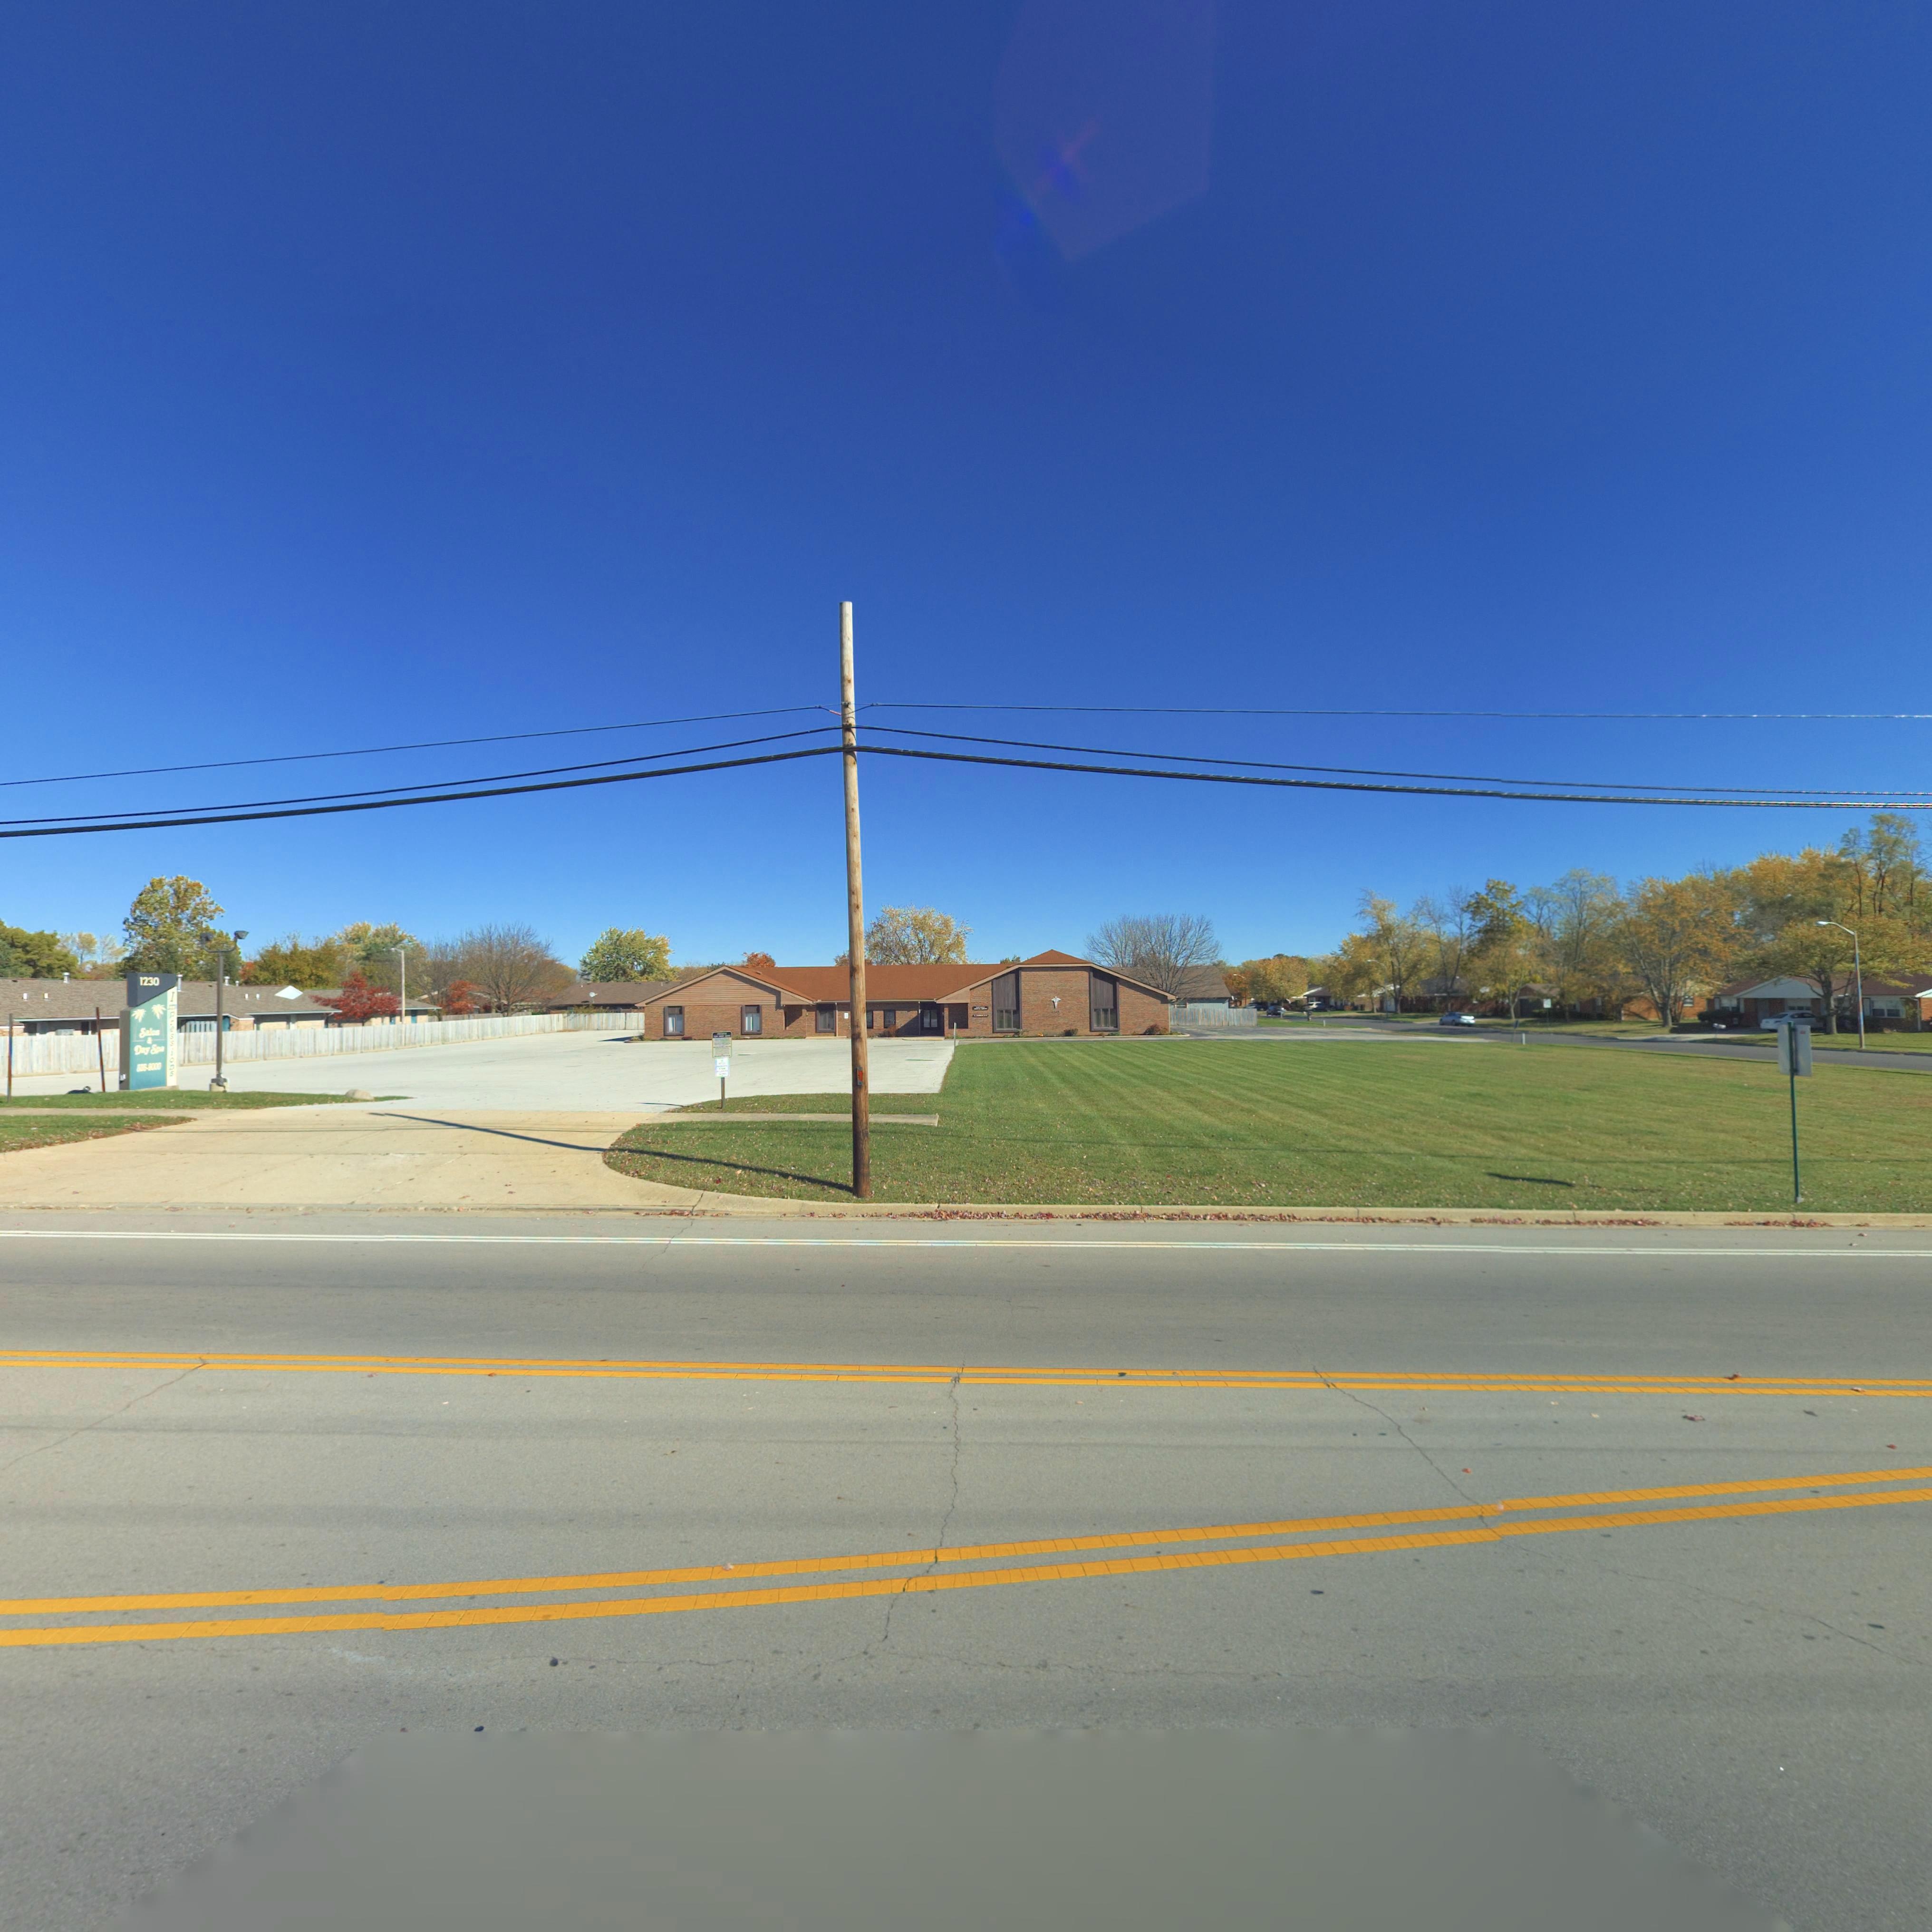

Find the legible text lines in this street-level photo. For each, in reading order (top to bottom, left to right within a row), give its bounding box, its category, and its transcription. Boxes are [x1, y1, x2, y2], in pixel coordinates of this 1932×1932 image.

[138, 975, 161, 987] StreetNumber: 1230
[166, 990, 177, 1078] BusinessName: Impressio*s
[133, 1043, 165, 1056] None: \